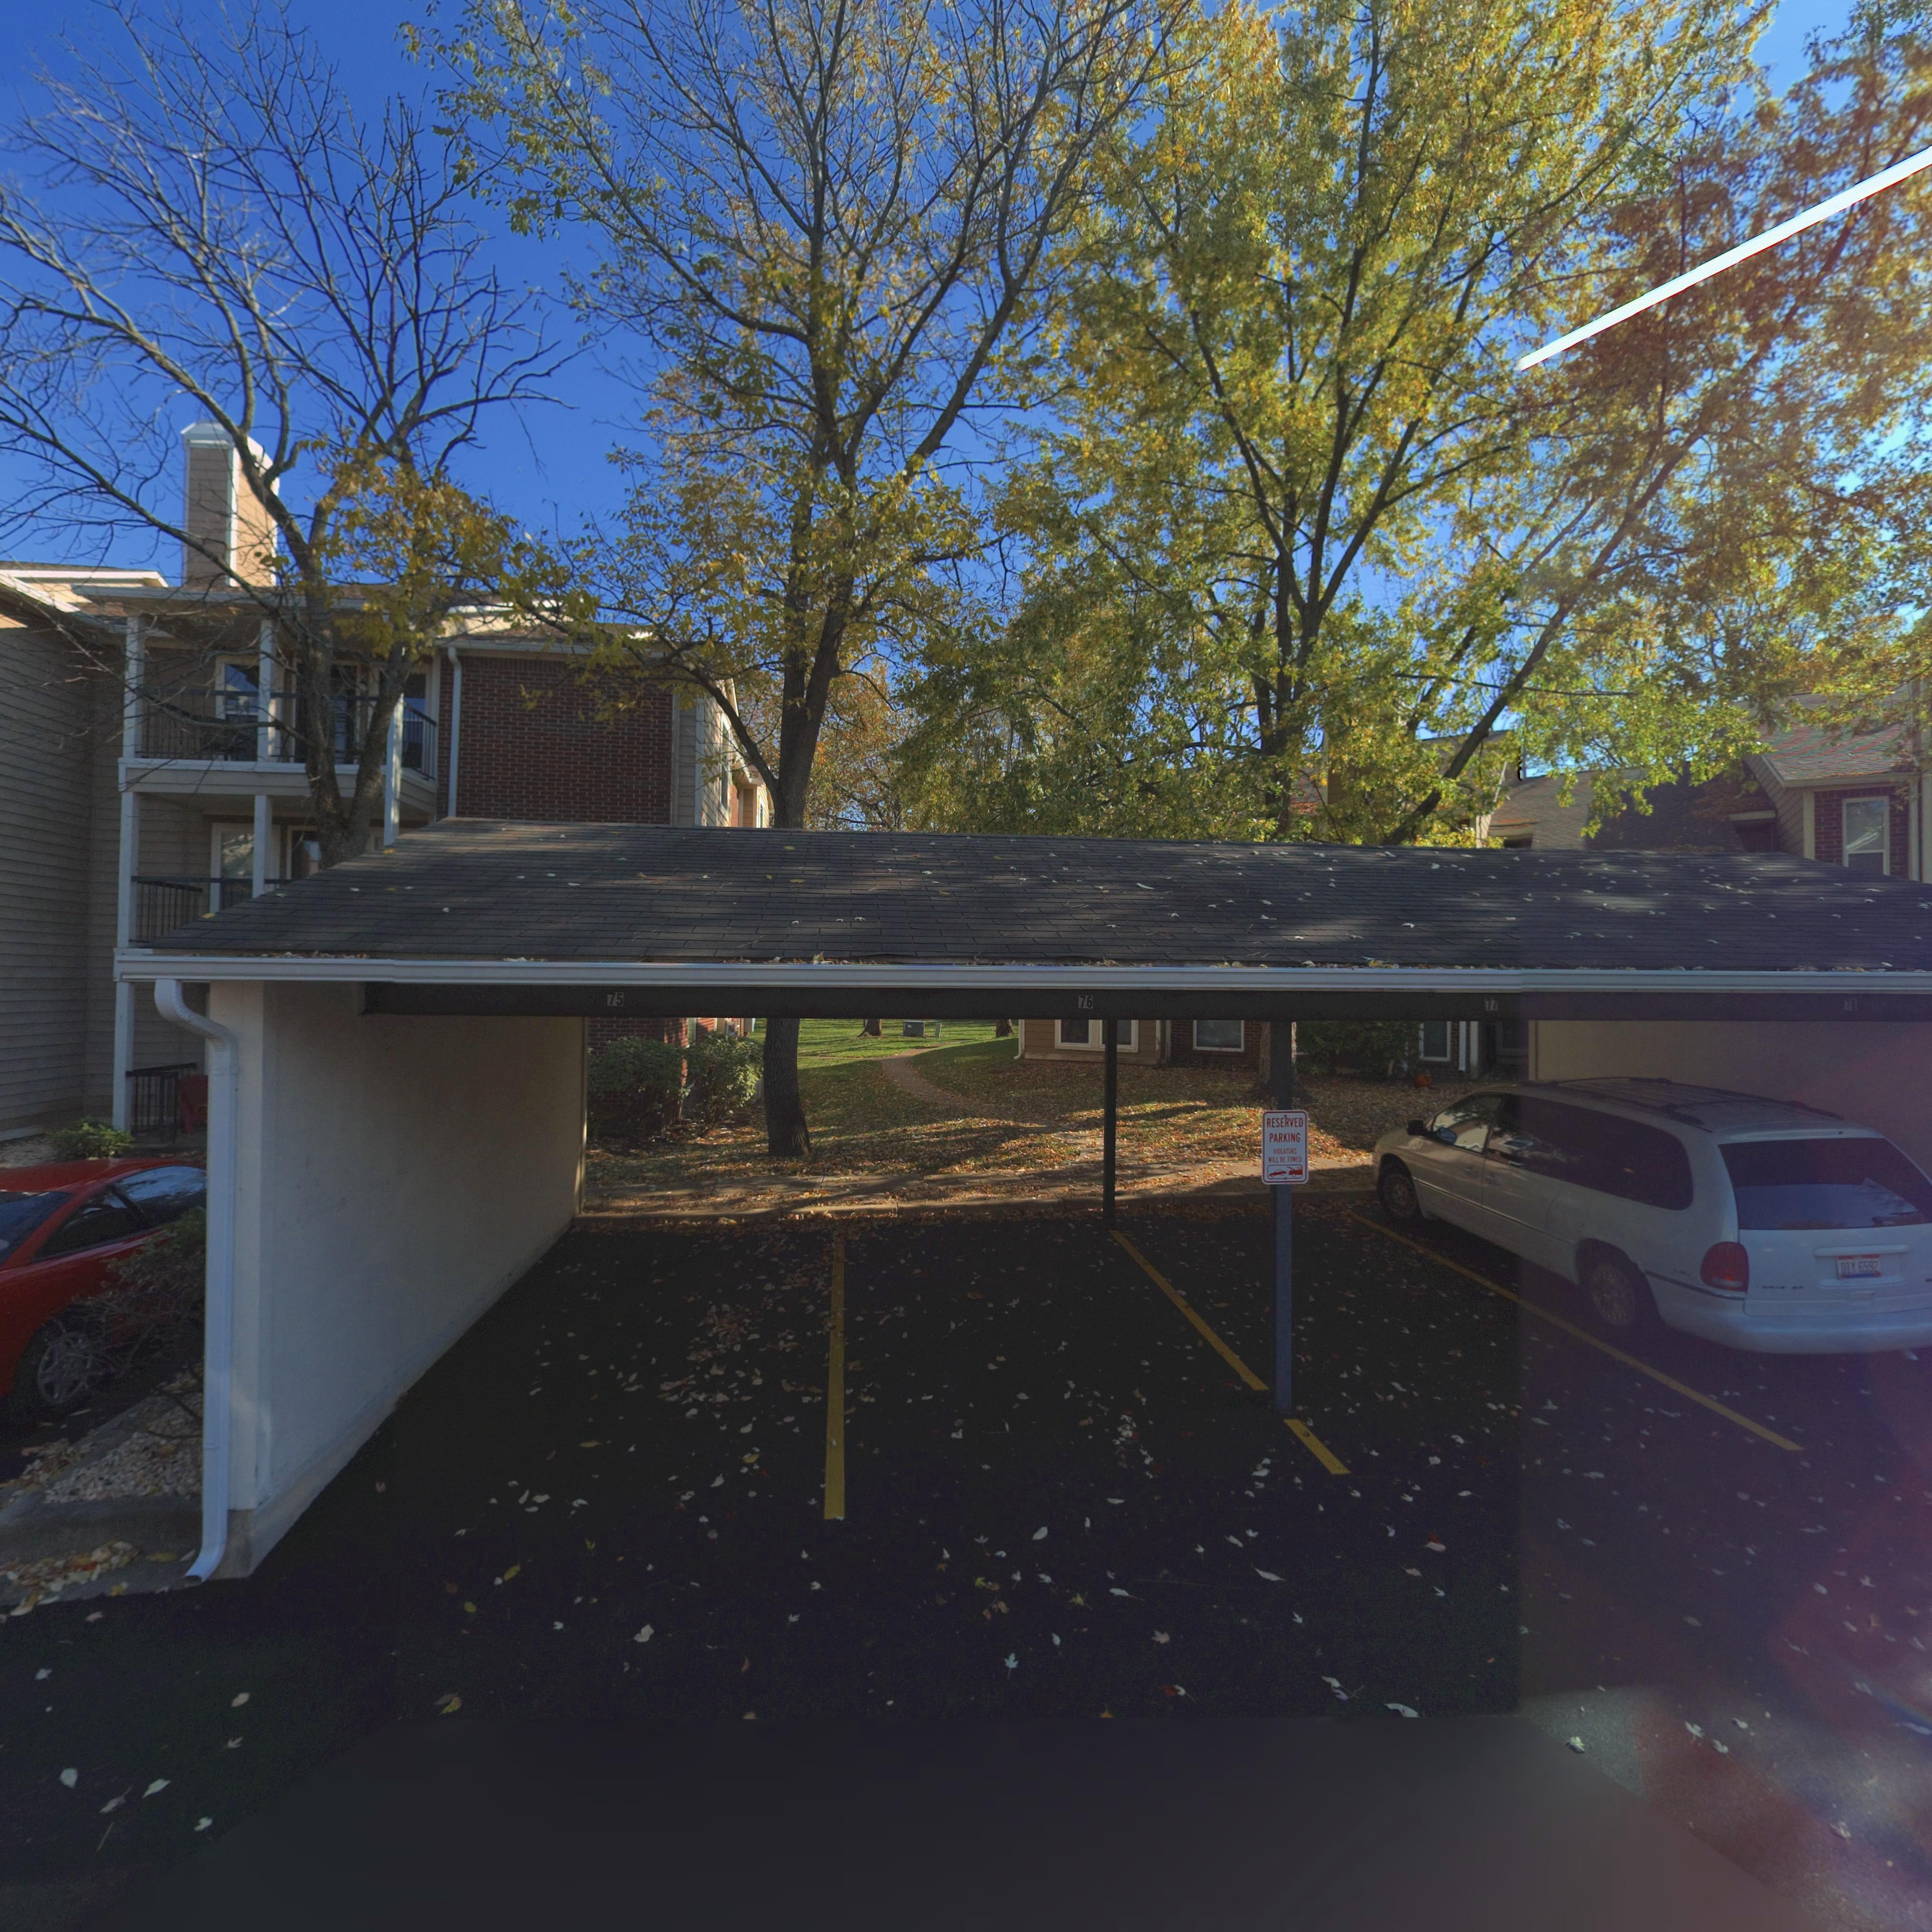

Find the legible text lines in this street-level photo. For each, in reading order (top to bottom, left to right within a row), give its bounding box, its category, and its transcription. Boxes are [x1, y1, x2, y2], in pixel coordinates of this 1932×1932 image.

[1265, 1117, 1303, 1127] None: RESERVED
[1269, 1132, 1301, 1143] None: PARKING
[1272, 1147, 1298, 1155] None: V*OLATORS
[1267, 1156, 1303, 1163] None: *ILL BE TO*ED
[1839, 1258, 1881, 1276] None: D** 6592